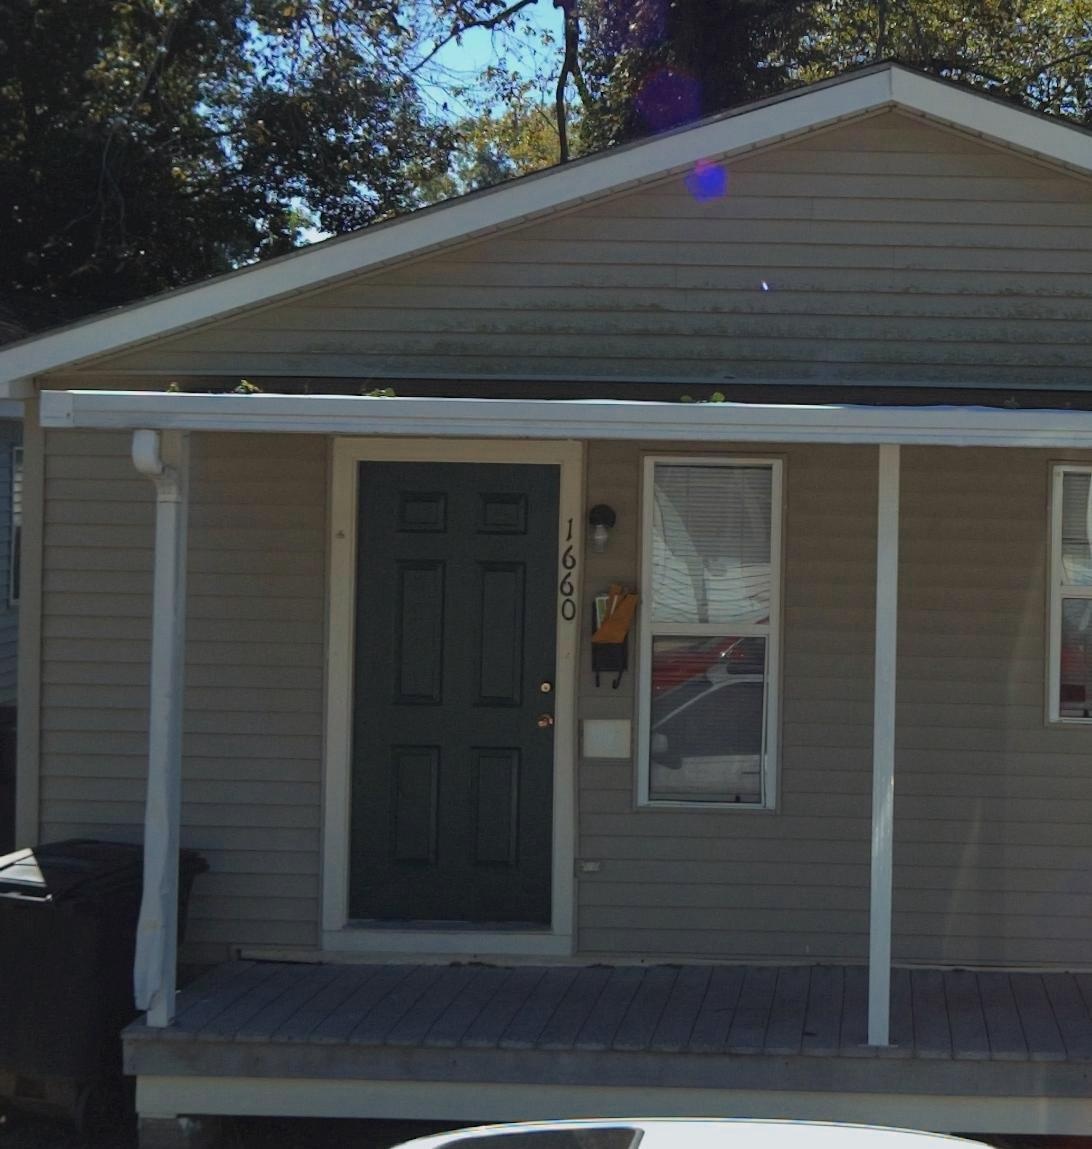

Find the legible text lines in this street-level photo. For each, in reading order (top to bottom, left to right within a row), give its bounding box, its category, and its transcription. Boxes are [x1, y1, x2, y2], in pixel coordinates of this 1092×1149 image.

[557, 513, 579, 625] StreetNumber: 1660